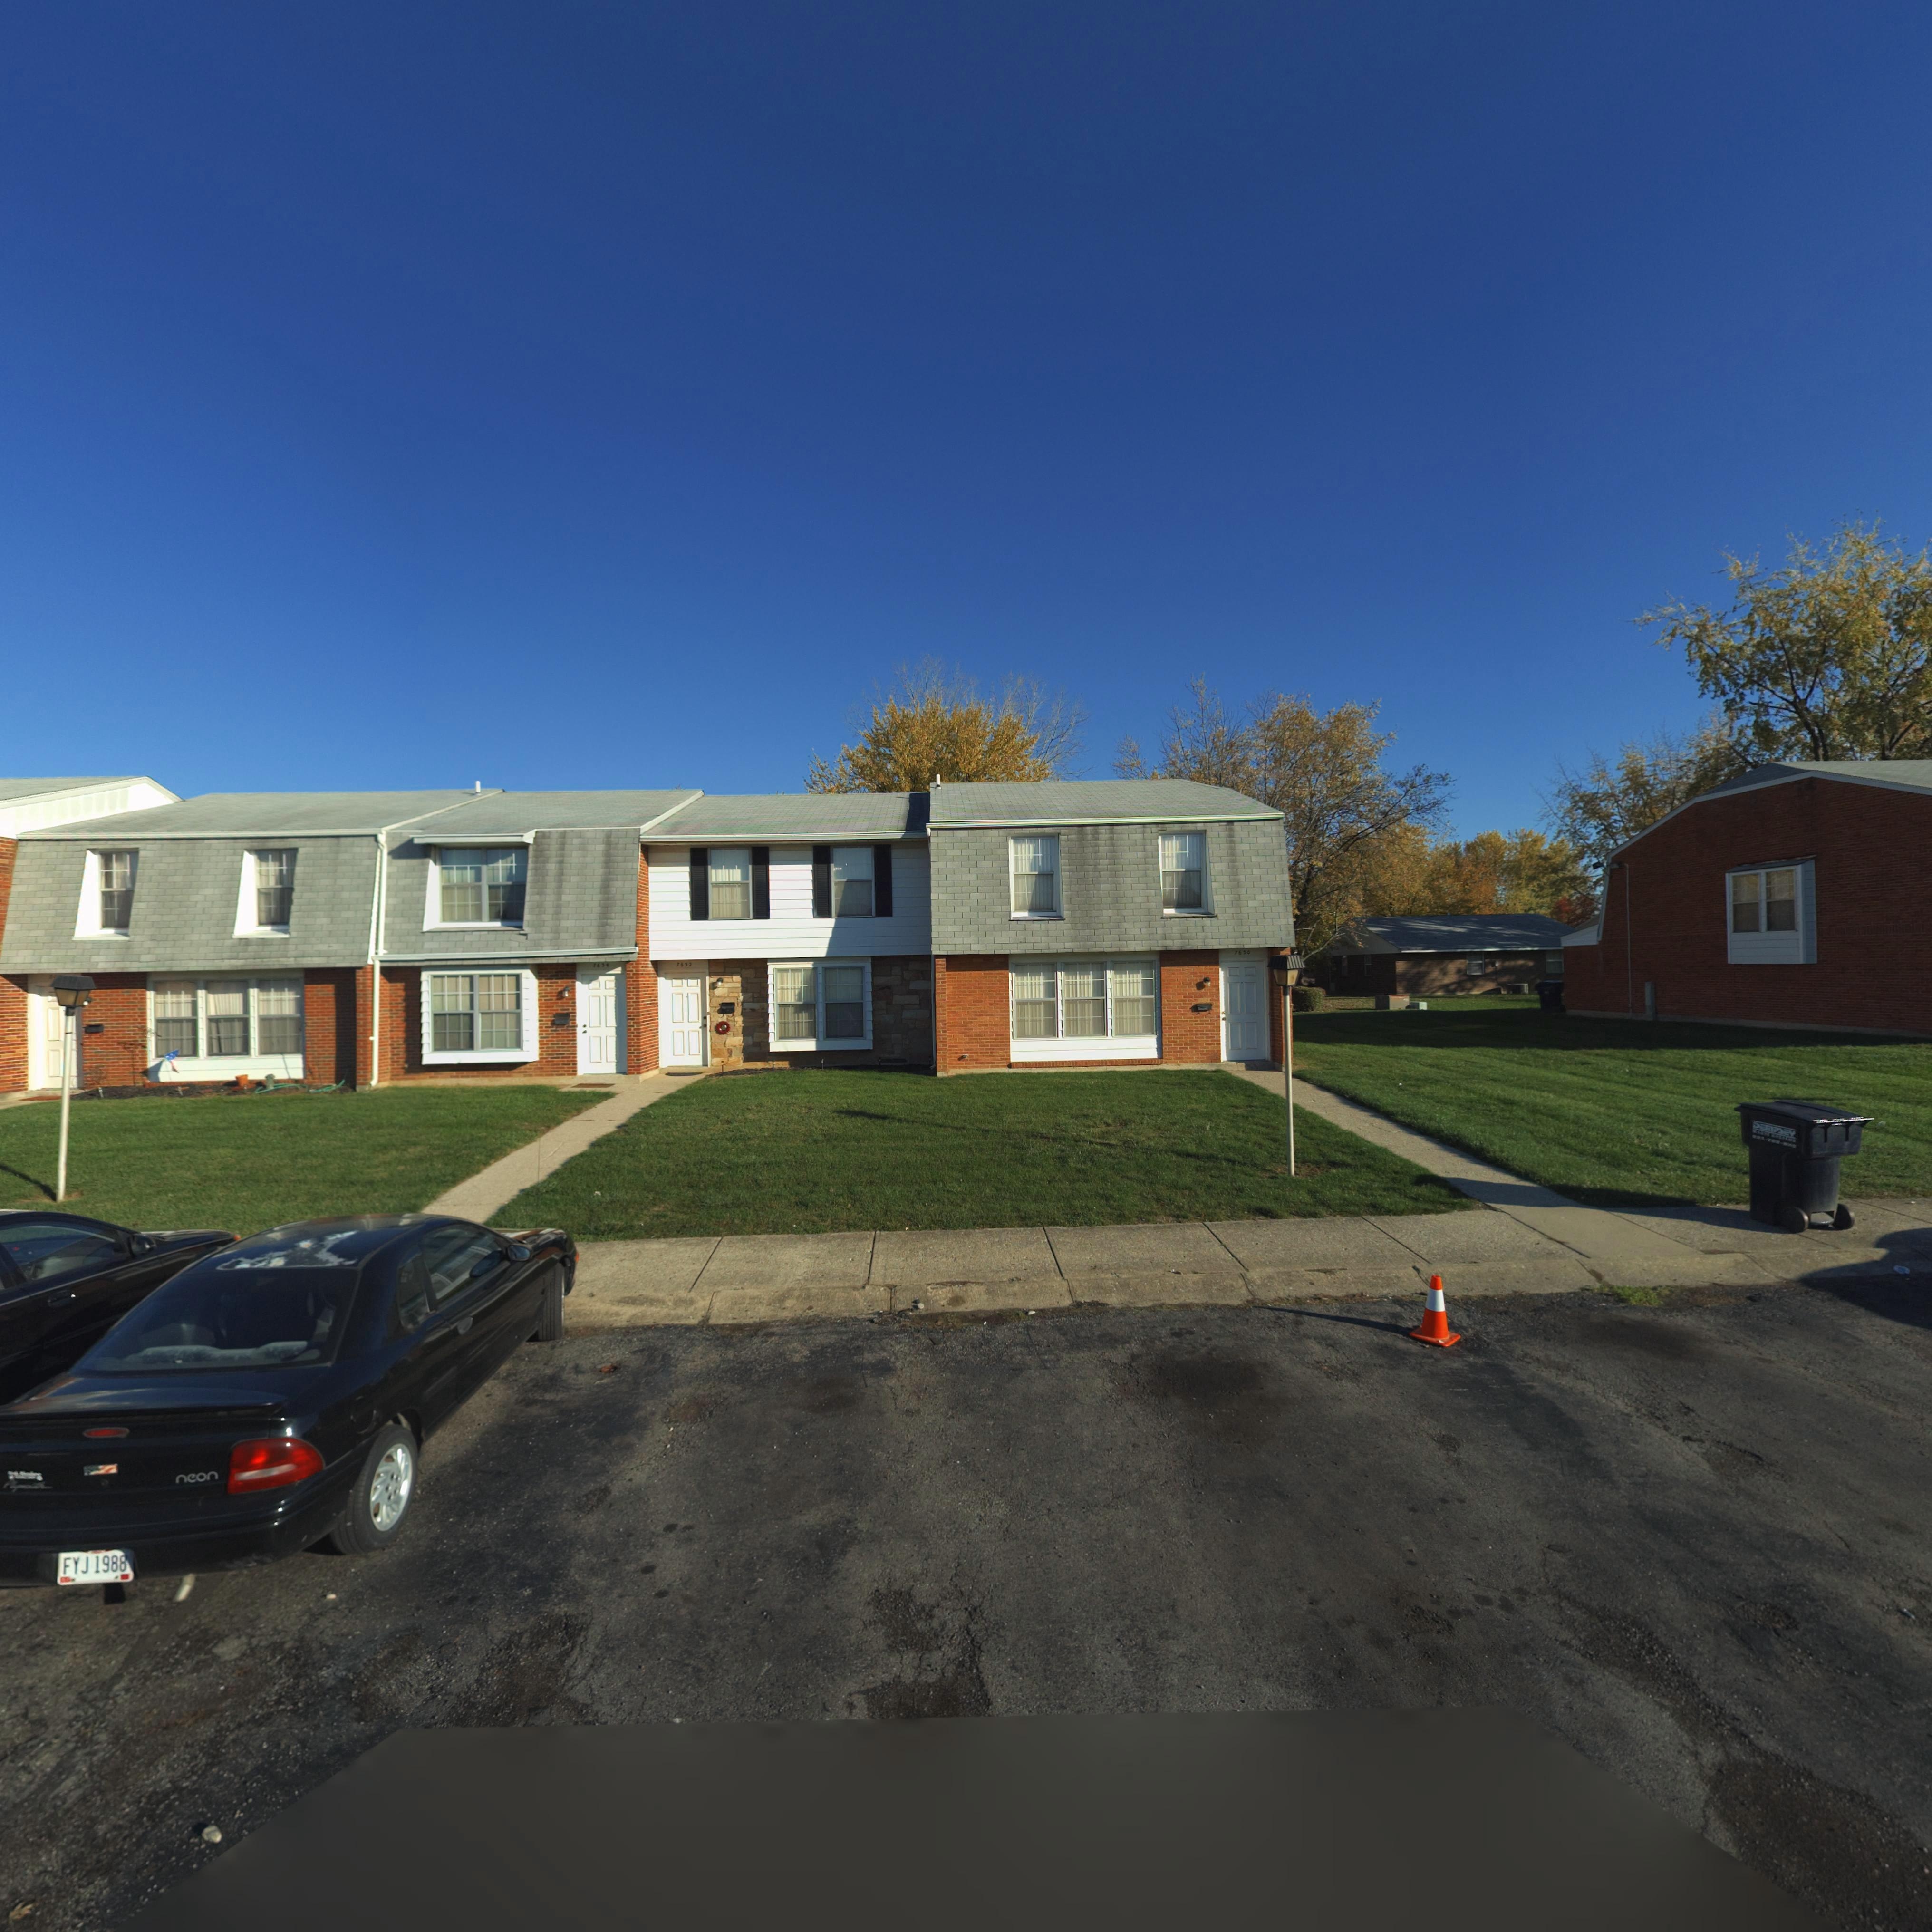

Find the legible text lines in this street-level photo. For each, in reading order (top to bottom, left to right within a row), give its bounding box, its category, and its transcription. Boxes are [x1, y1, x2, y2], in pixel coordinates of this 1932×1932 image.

[1234, 949, 1251, 955] StreetNumber: 7630
[592, 962, 609, 968] StreetNumber: 7634
[676, 962, 692, 967] StreetNumber: 7632
[48, 974, 53, 979] StreetNumber: 7